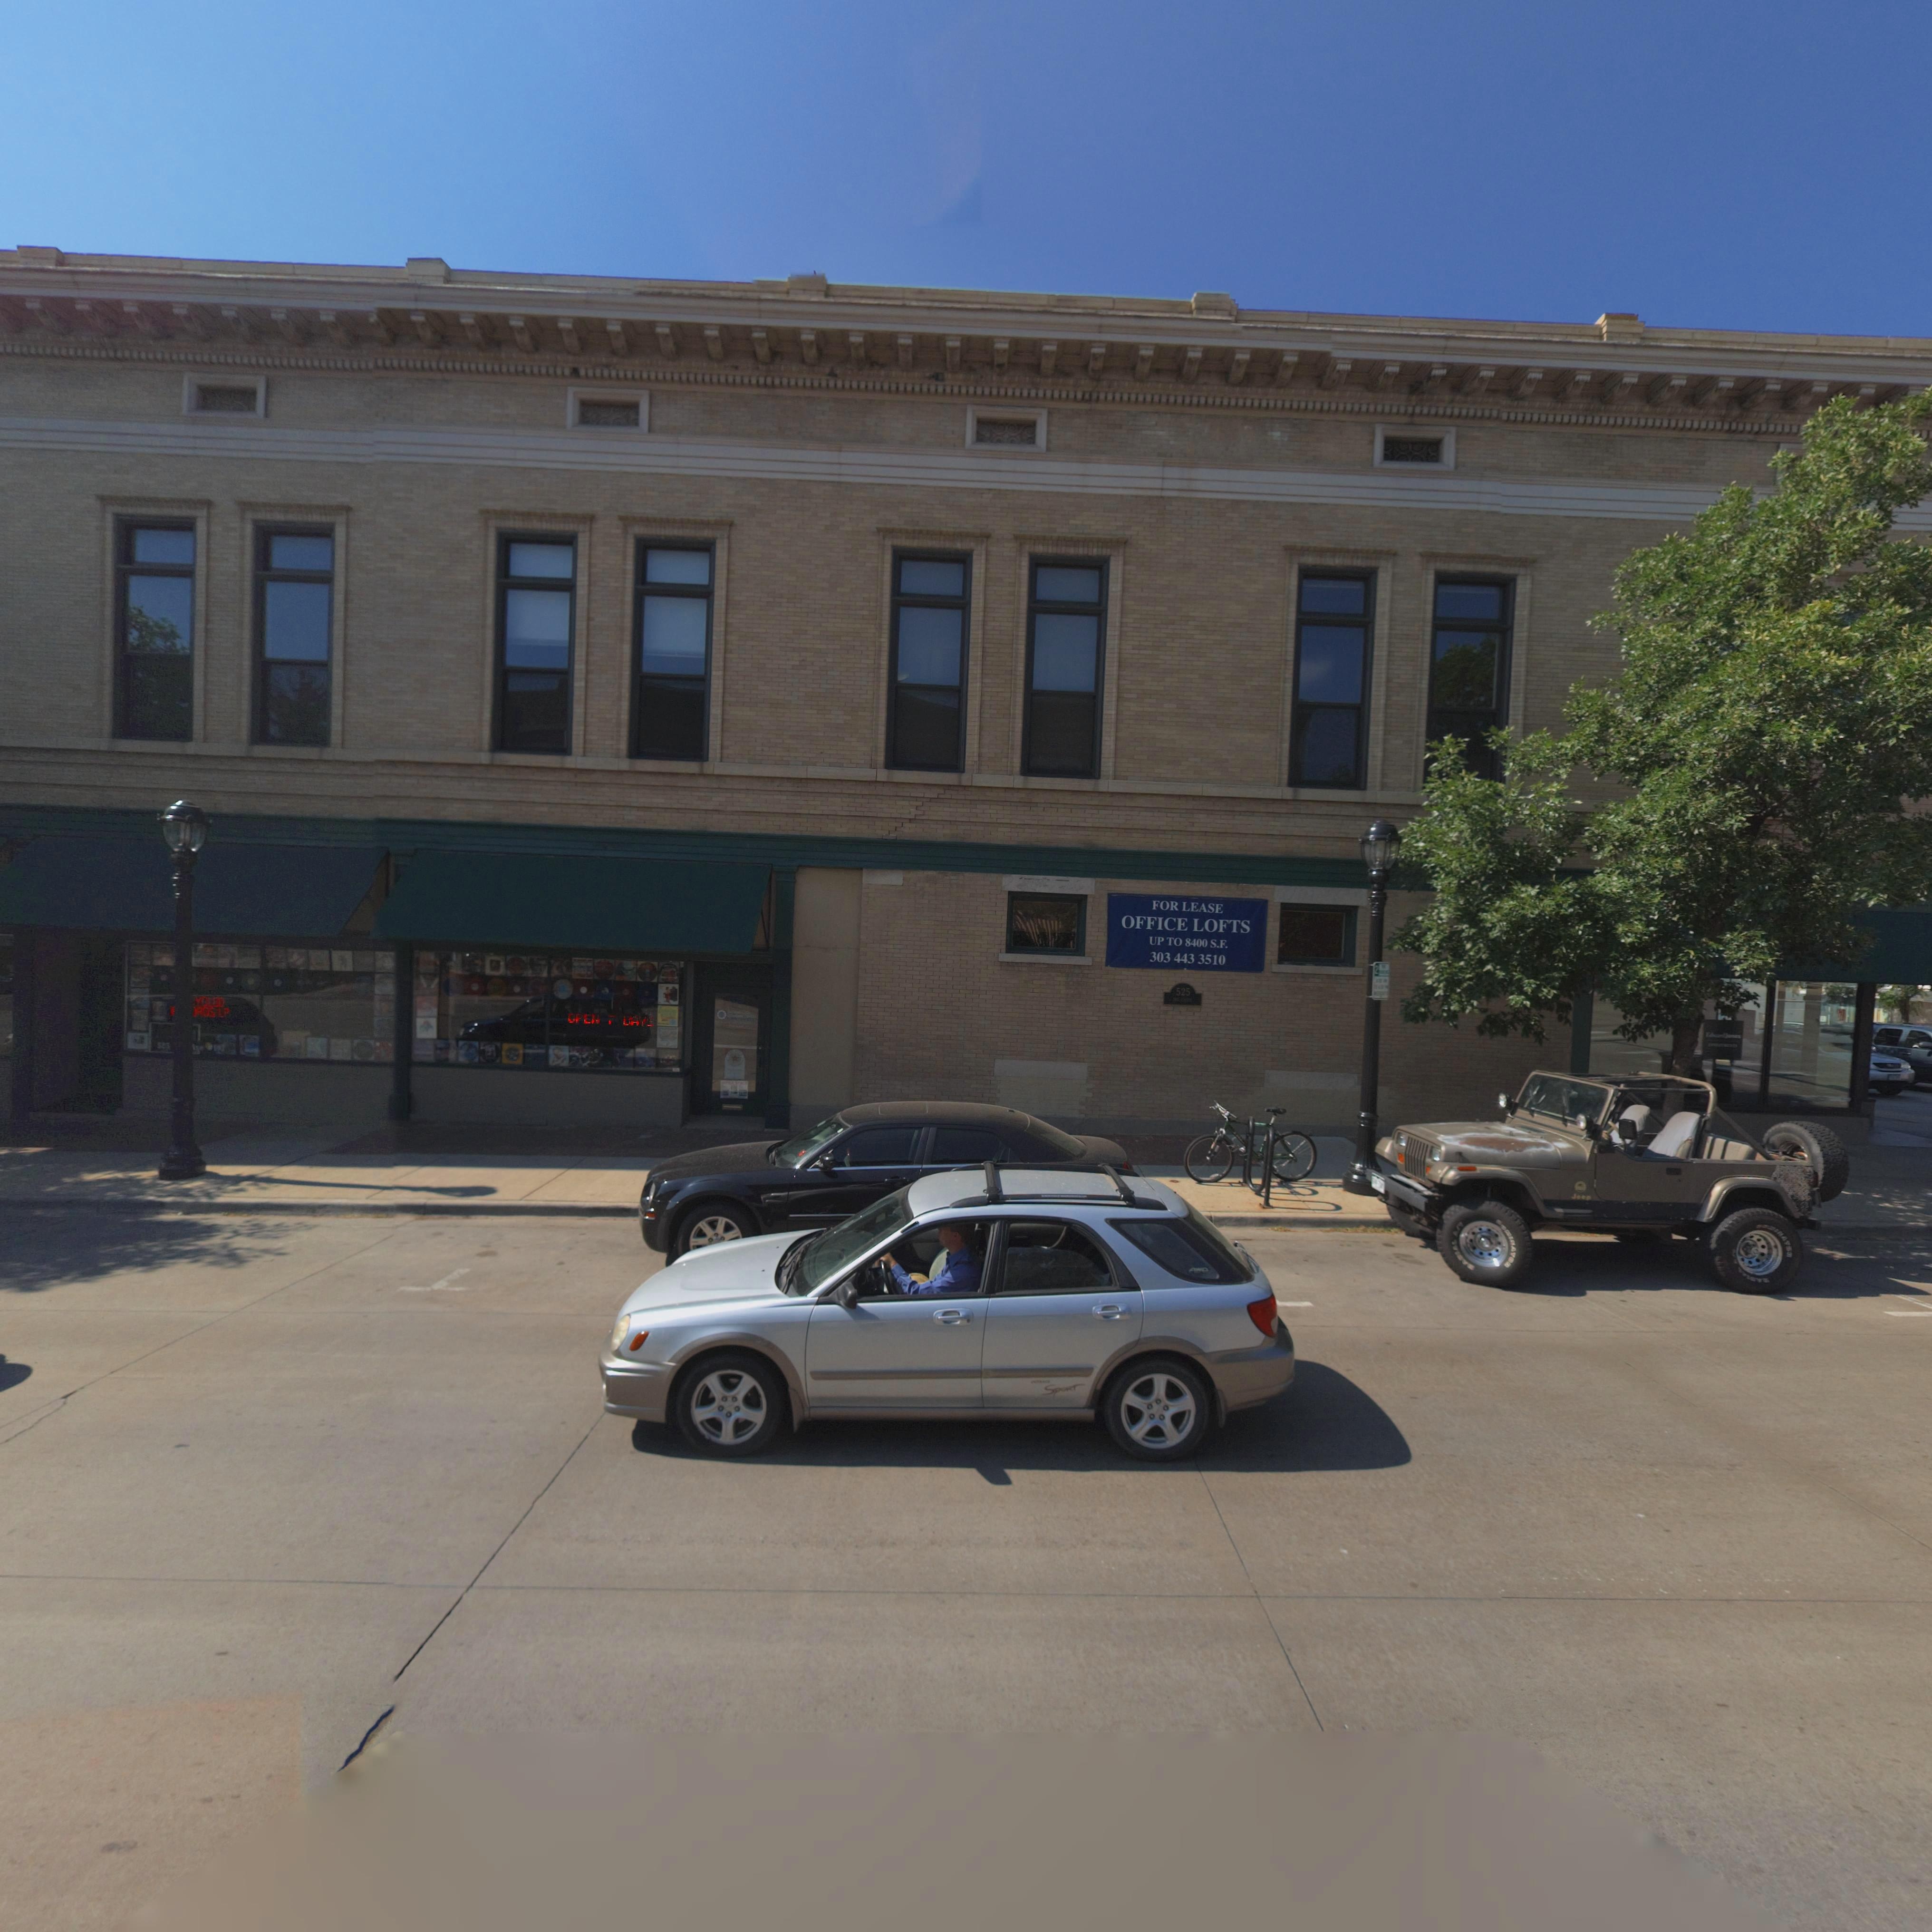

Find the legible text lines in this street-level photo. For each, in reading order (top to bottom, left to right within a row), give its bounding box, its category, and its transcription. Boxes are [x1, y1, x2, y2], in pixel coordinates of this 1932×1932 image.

[1176, 987, 1191, 996] StreetNumber: 525
[194, 996, 226, 1007] StreetNumber: YCLED
[169, 1005, 230, 1018] BusinessName: ***RDS LP